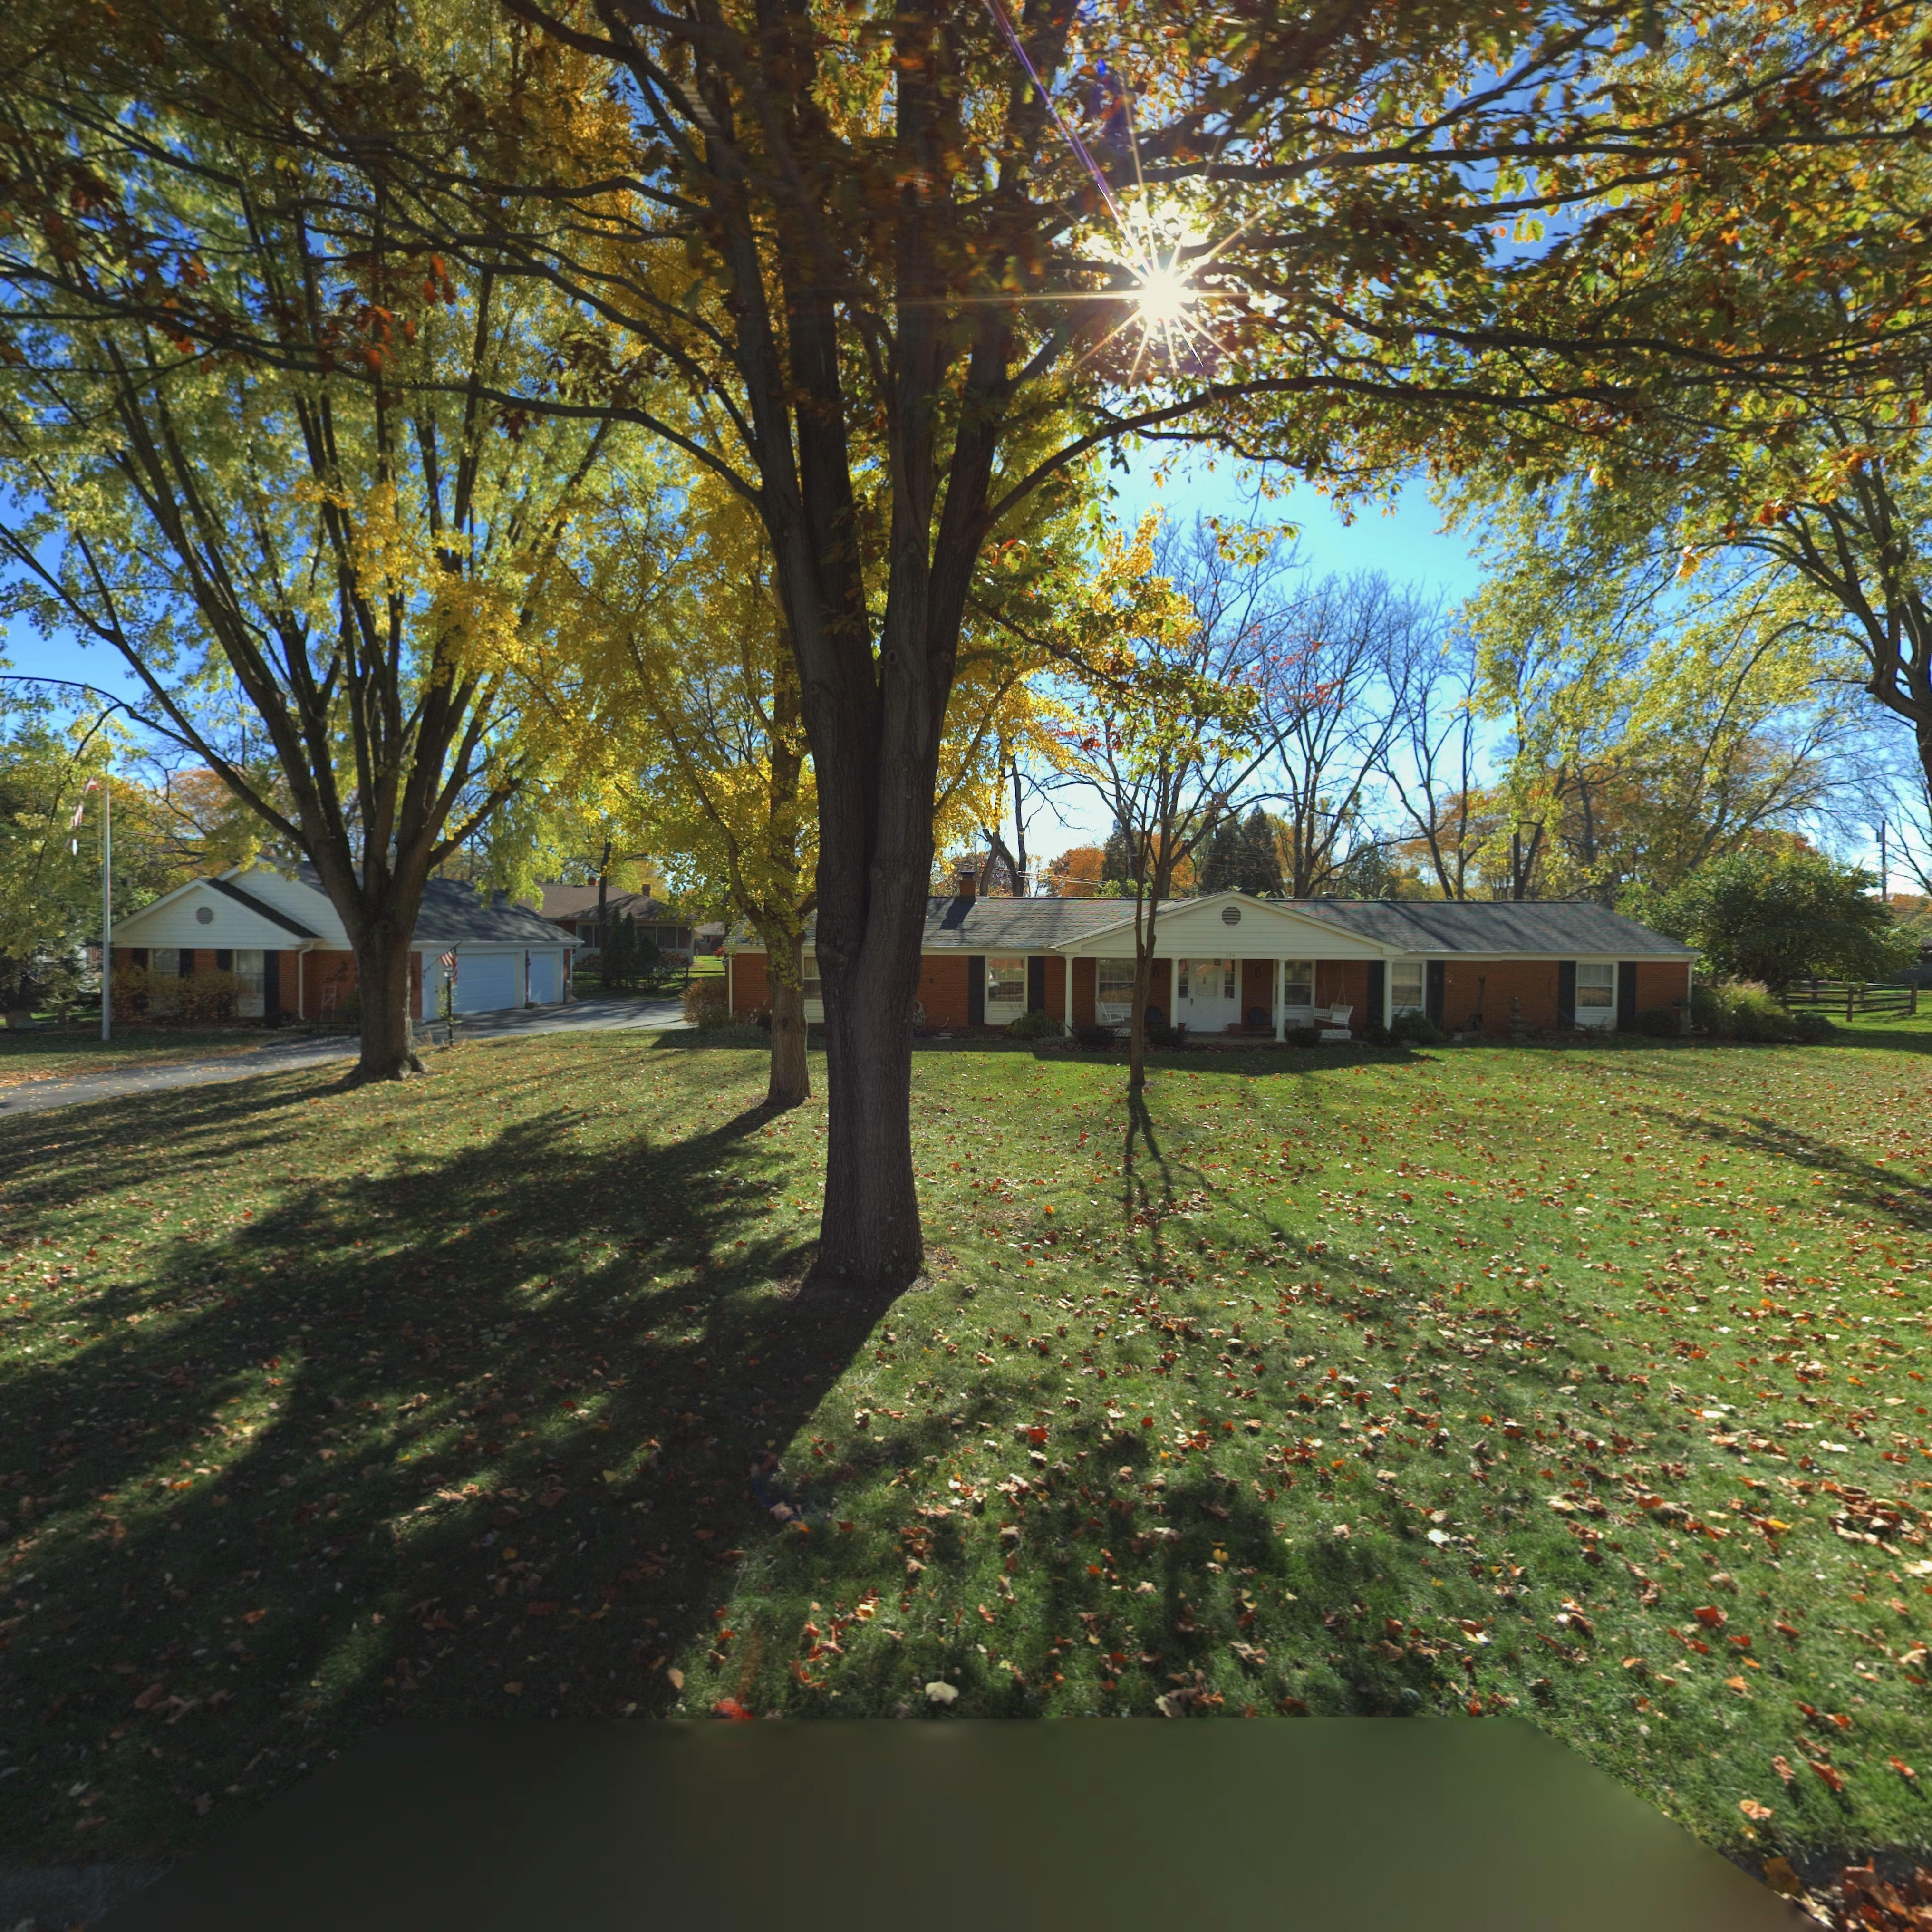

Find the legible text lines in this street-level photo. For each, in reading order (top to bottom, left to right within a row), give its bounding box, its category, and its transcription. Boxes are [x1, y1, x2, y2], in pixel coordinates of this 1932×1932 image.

[1225, 953, 1235, 958] StreetNumber: 374